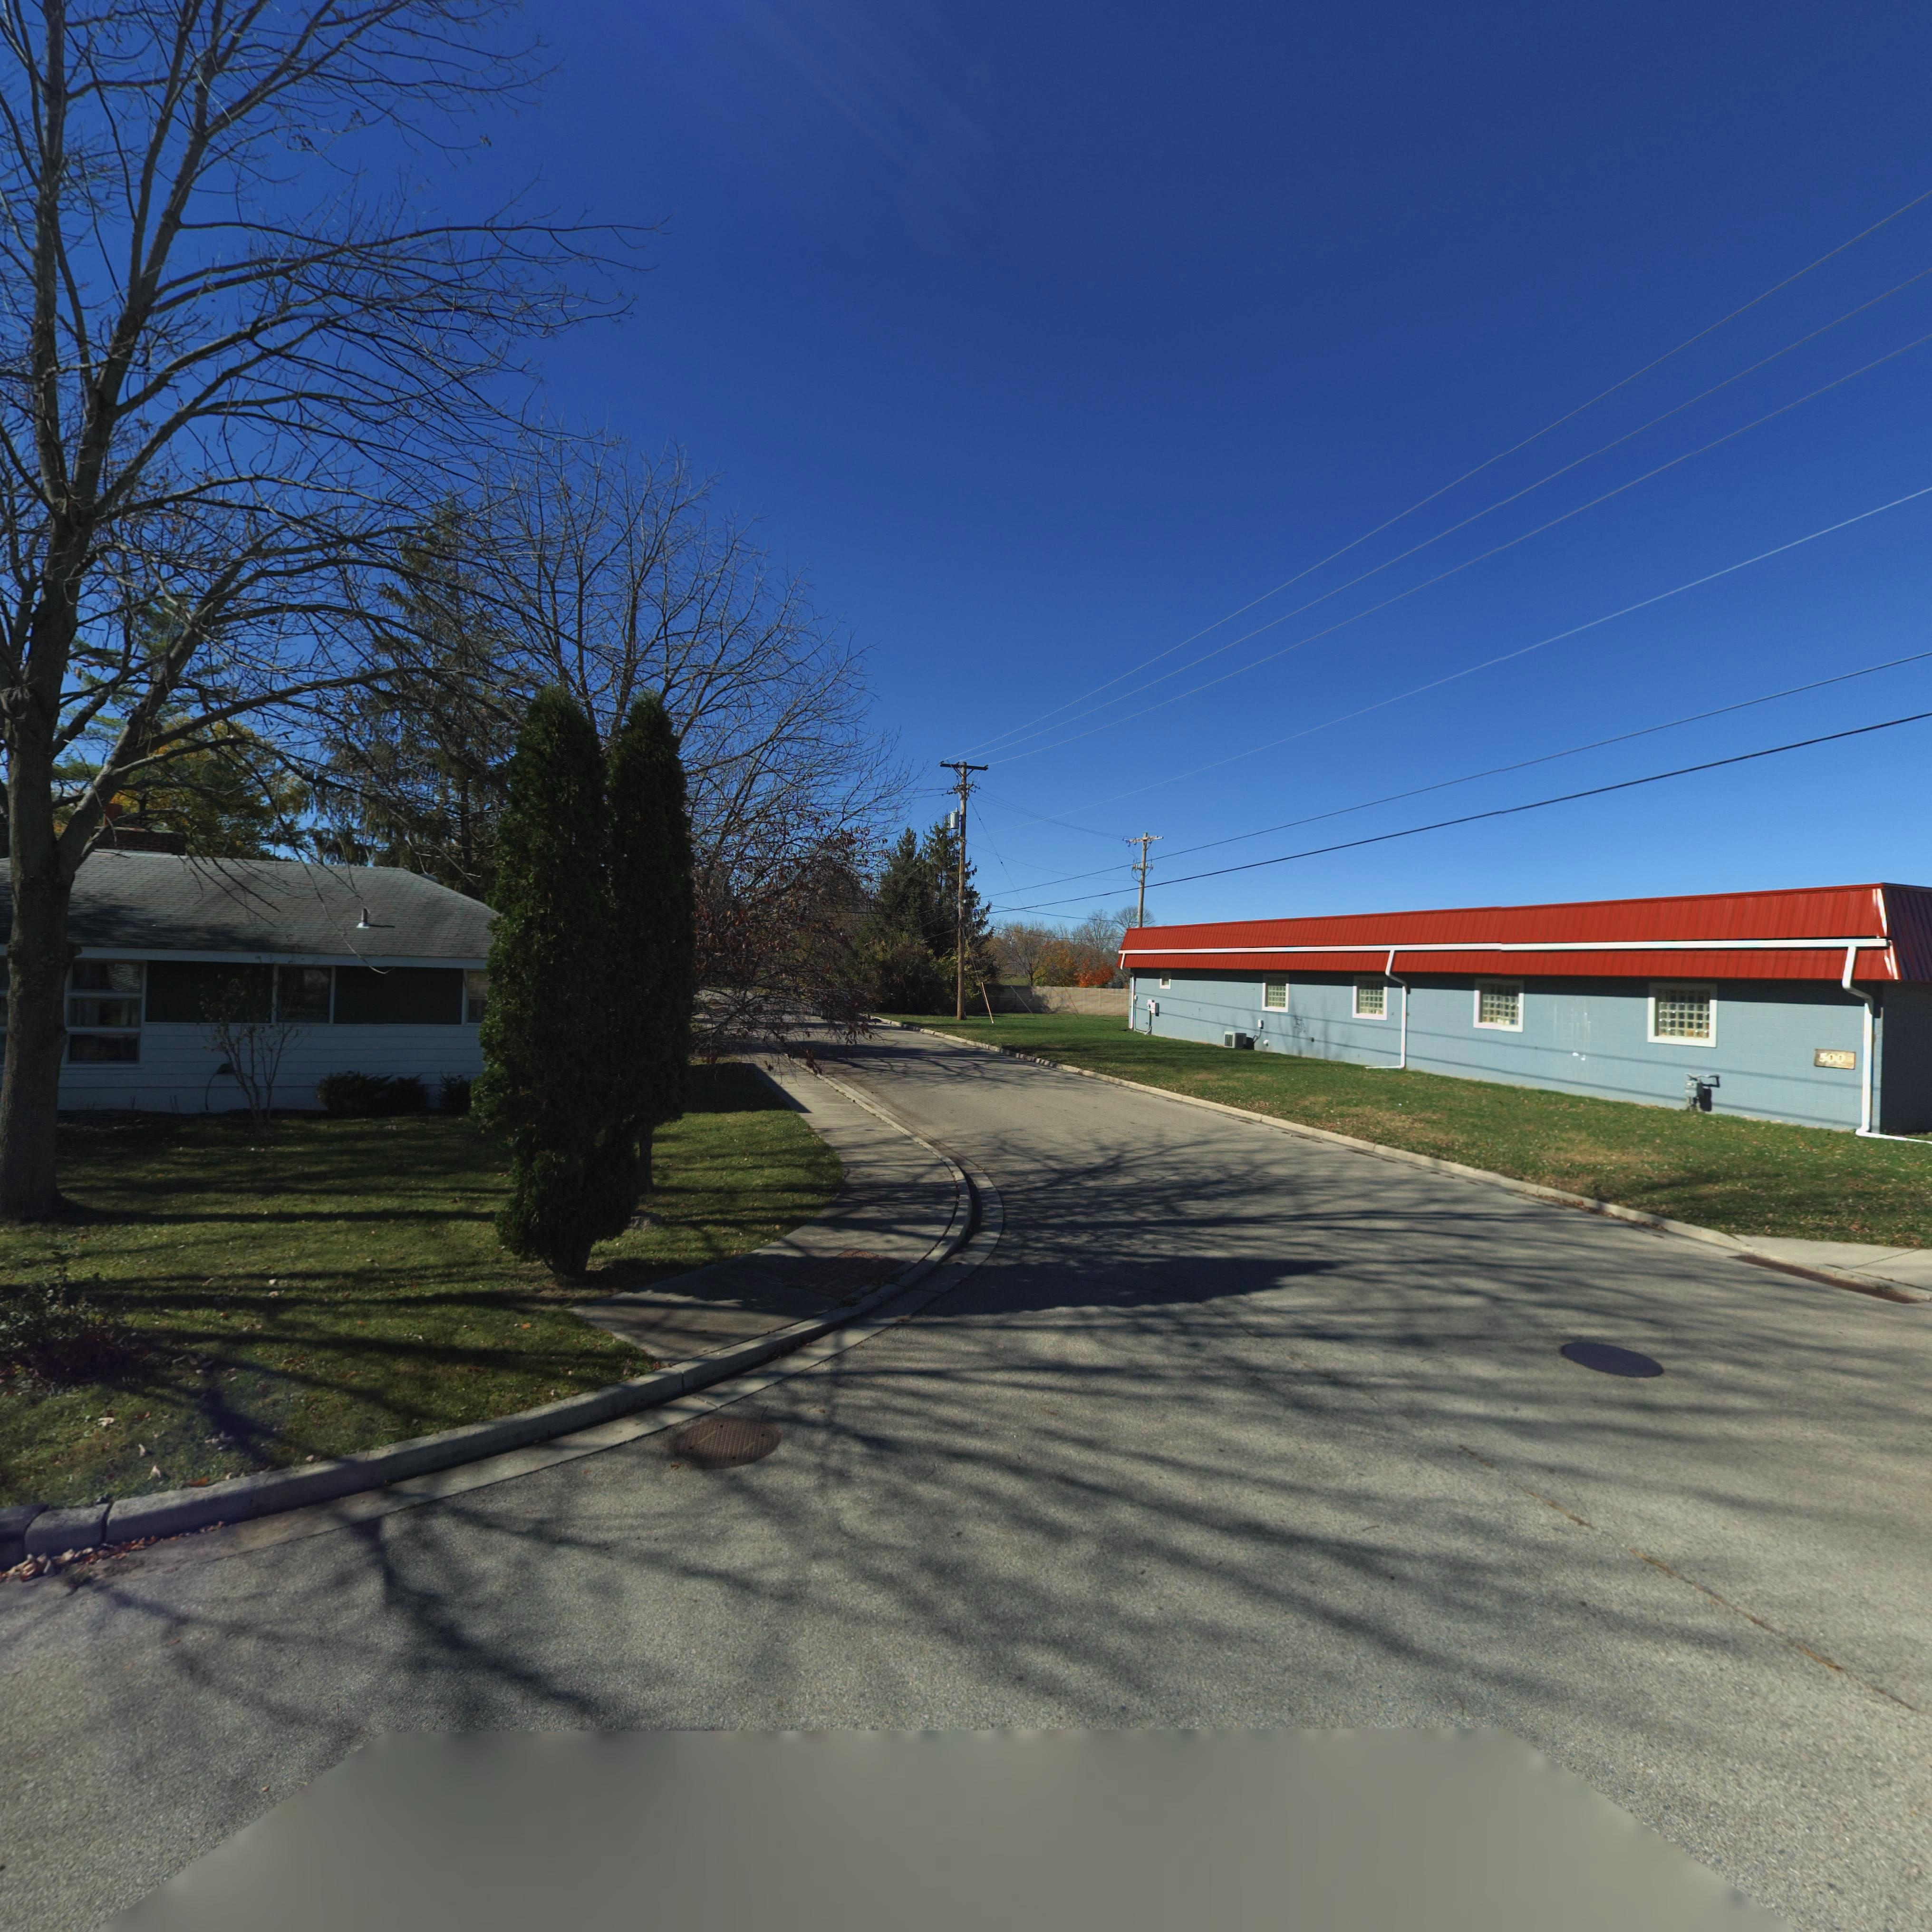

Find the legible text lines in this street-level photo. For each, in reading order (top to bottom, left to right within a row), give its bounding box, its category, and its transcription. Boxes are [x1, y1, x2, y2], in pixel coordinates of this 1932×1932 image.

[1818, 1052, 1847, 1064] StreetNumber: 500